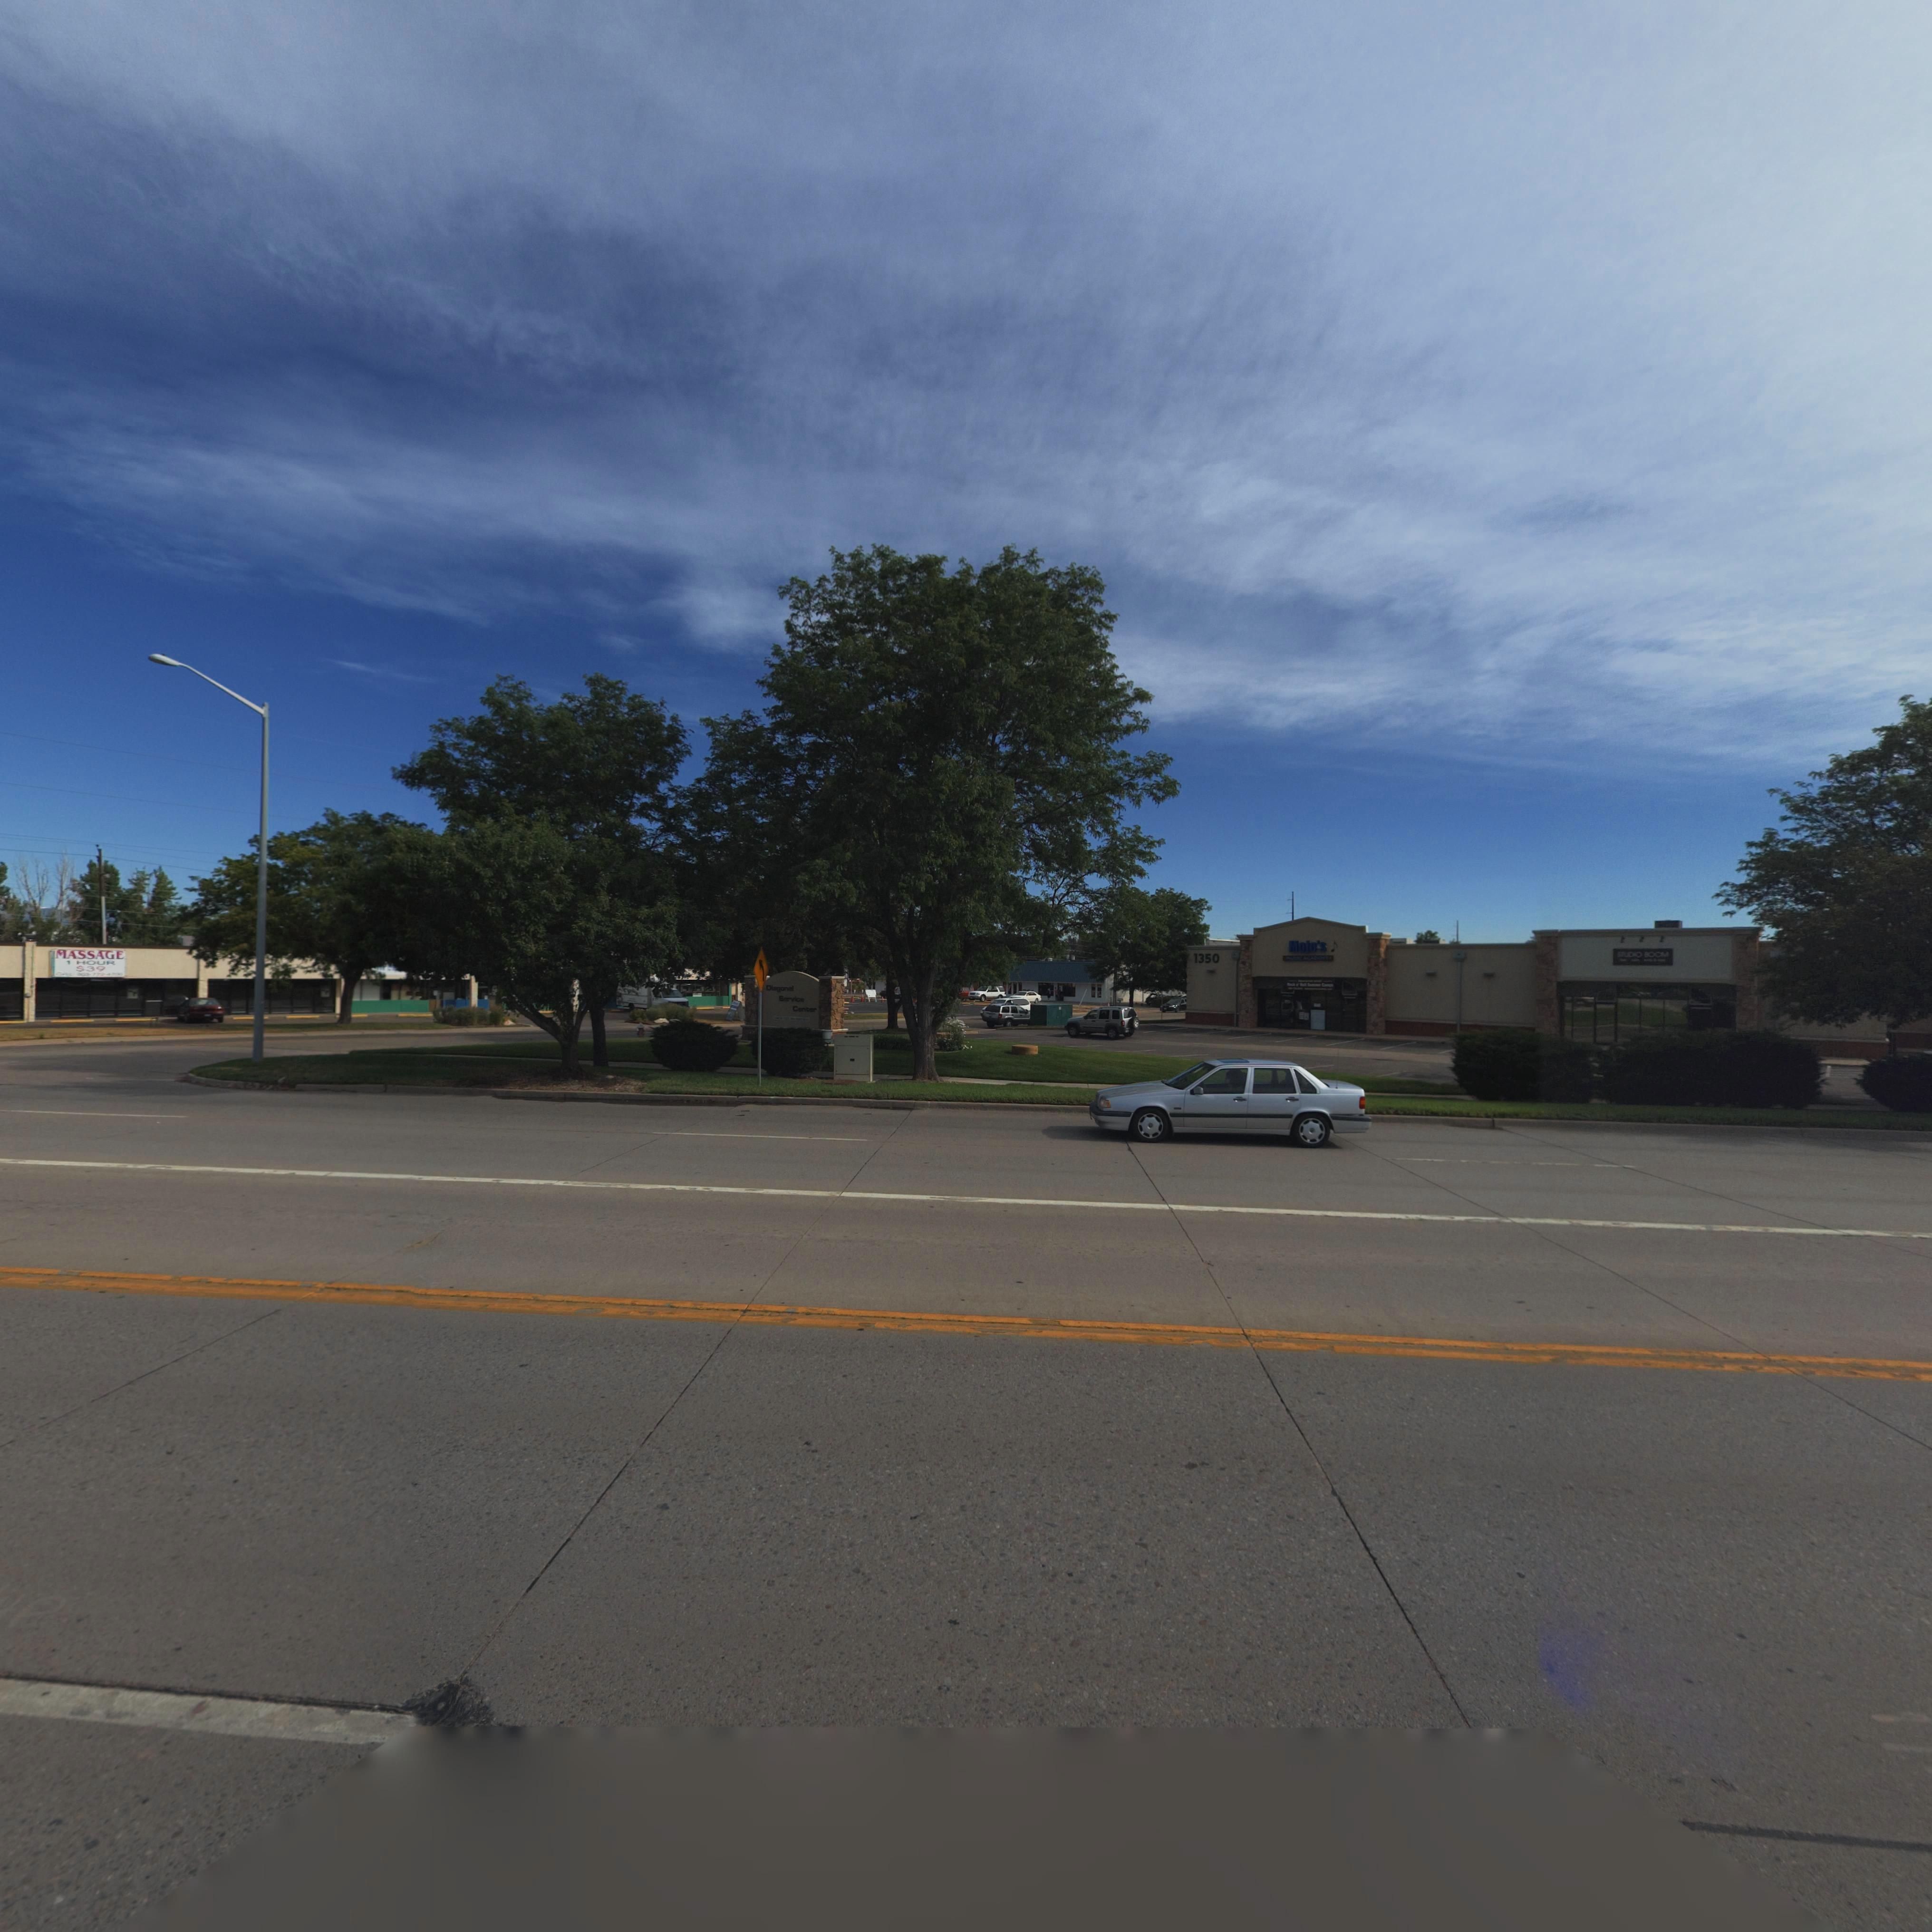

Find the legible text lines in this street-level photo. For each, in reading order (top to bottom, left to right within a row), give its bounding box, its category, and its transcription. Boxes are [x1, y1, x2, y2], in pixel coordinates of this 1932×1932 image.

[1288, 939, 1327, 953] BusinessName: Mojo's
[1194, 952, 1220, 964] StreetNumber: 1350
[1616, 951, 1669, 958] BusinessName: STUDIO BOOM